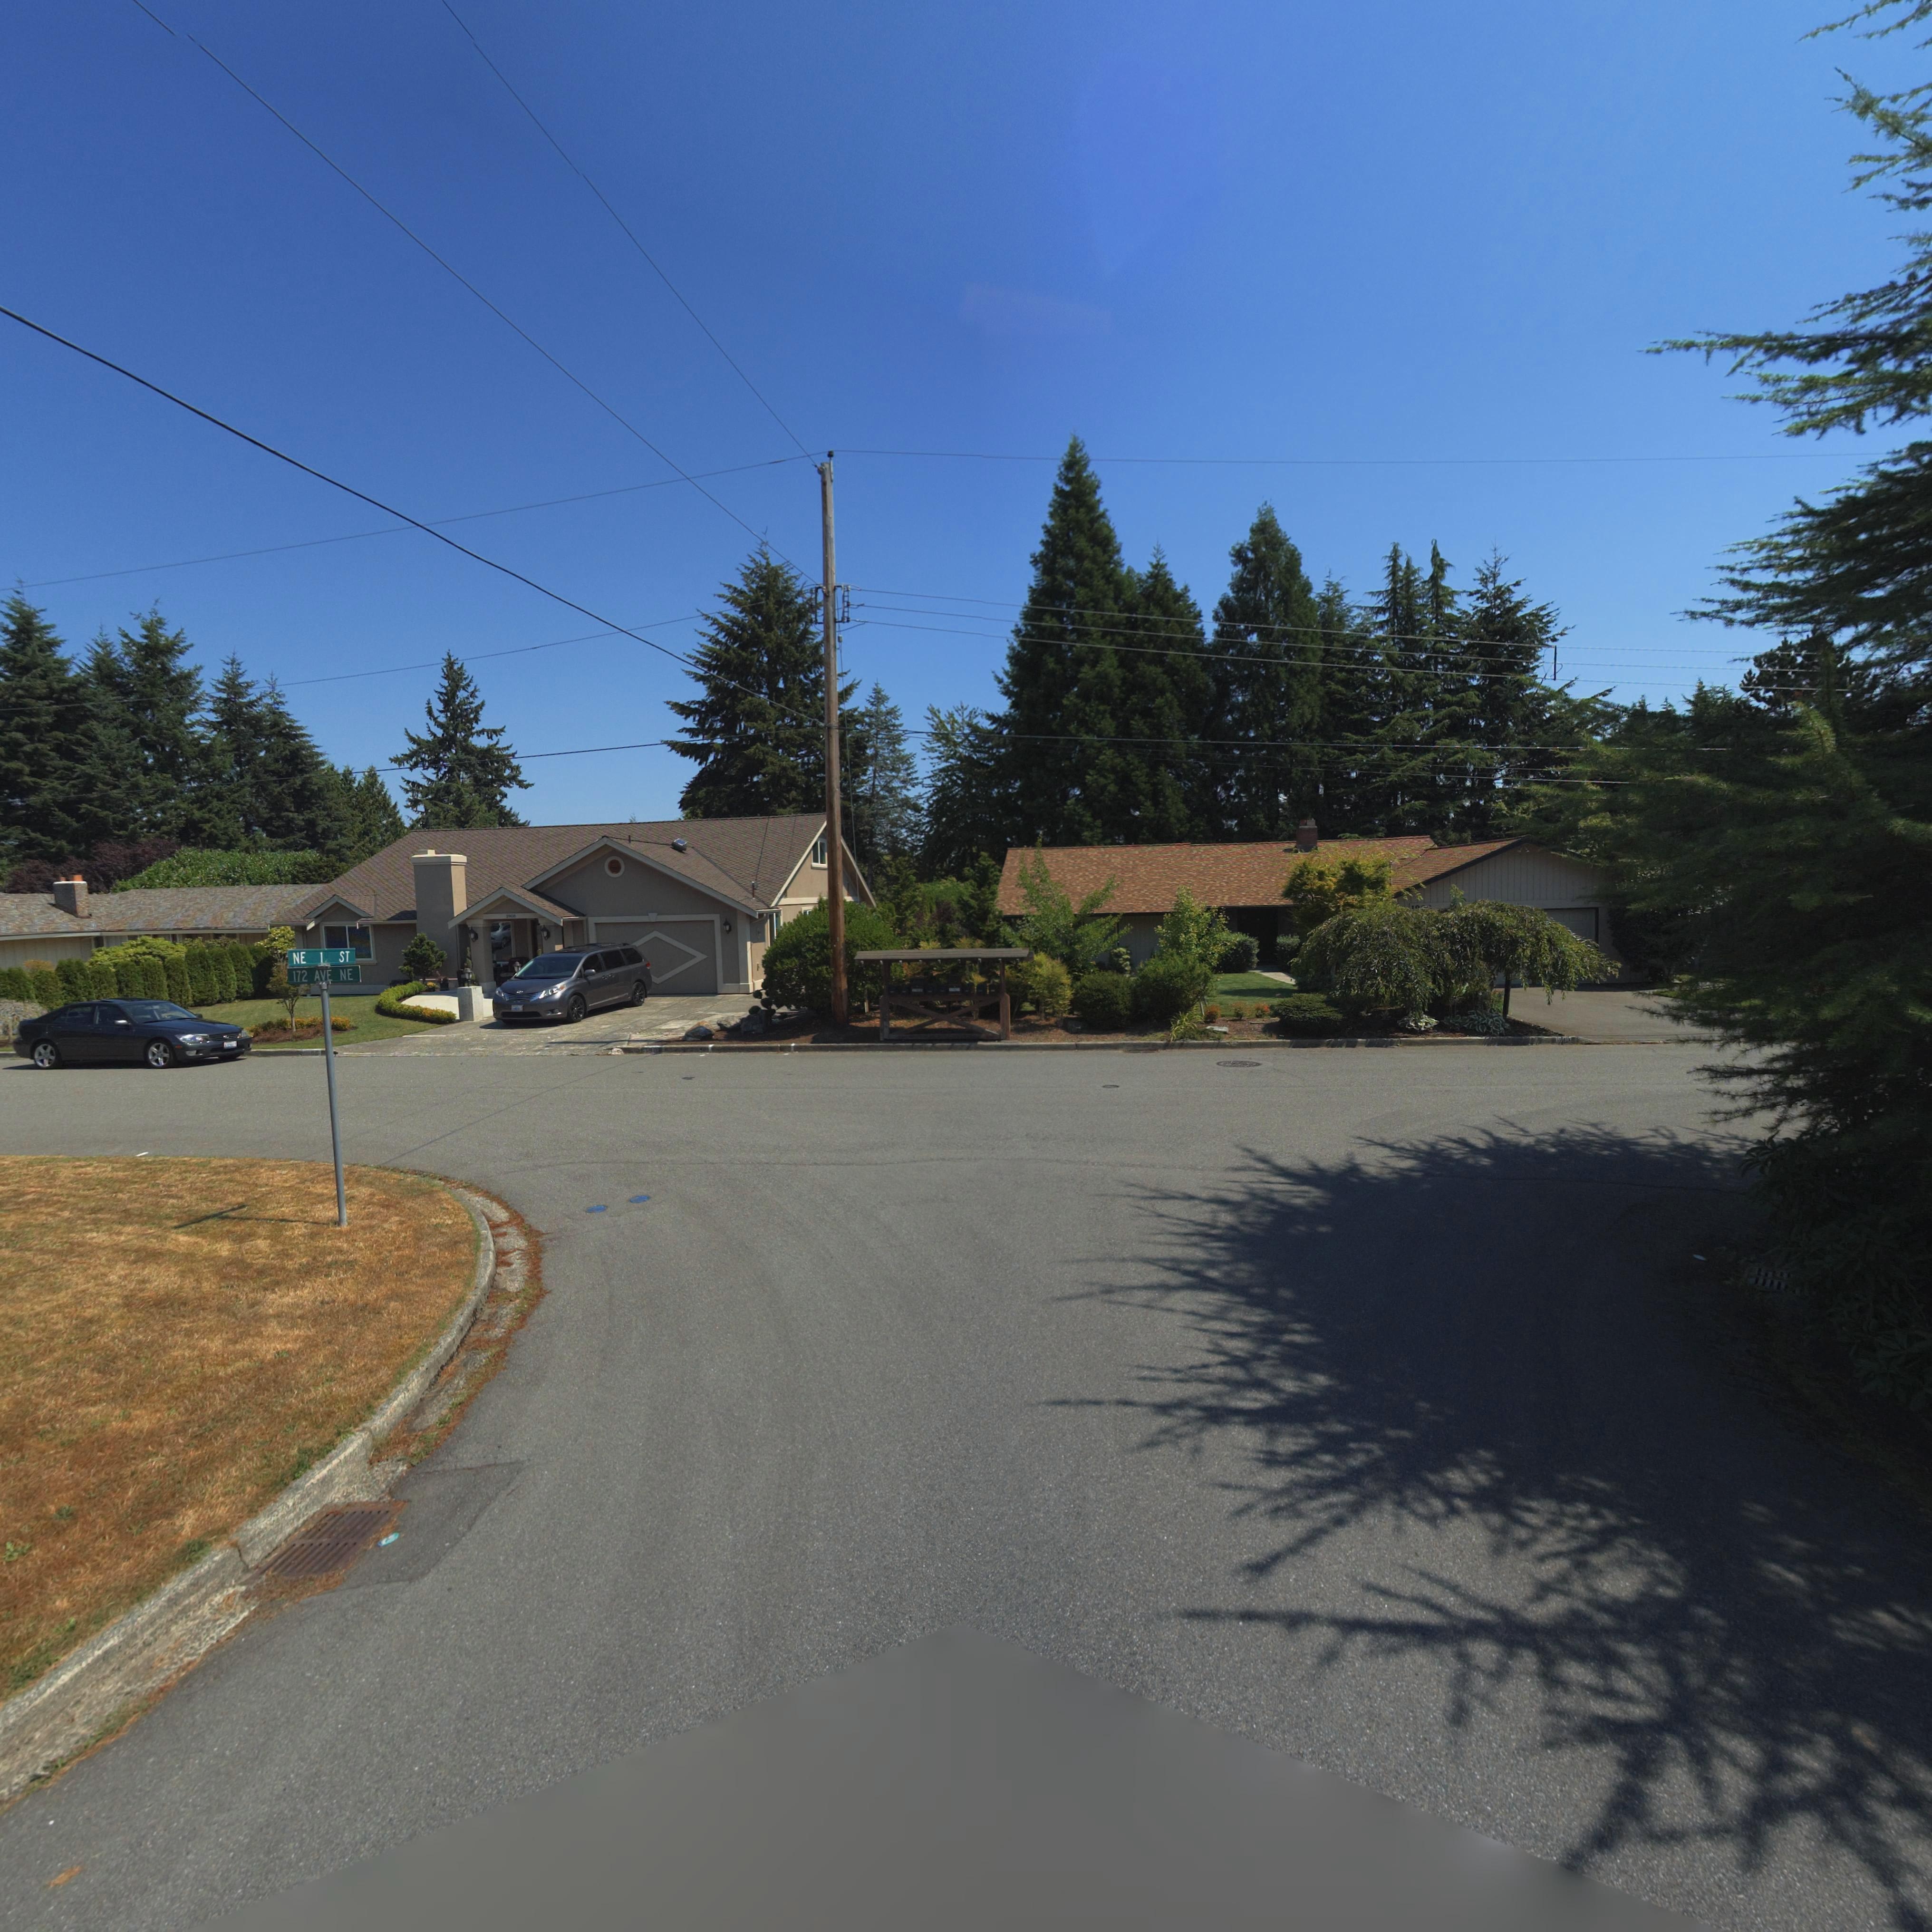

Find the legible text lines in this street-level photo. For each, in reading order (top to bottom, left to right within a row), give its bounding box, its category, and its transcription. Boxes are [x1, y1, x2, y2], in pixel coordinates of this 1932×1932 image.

[292, 951, 351, 964] StreetName: NE 1* ST
[292, 968, 353, 982] StreetName: 172 AVE NE